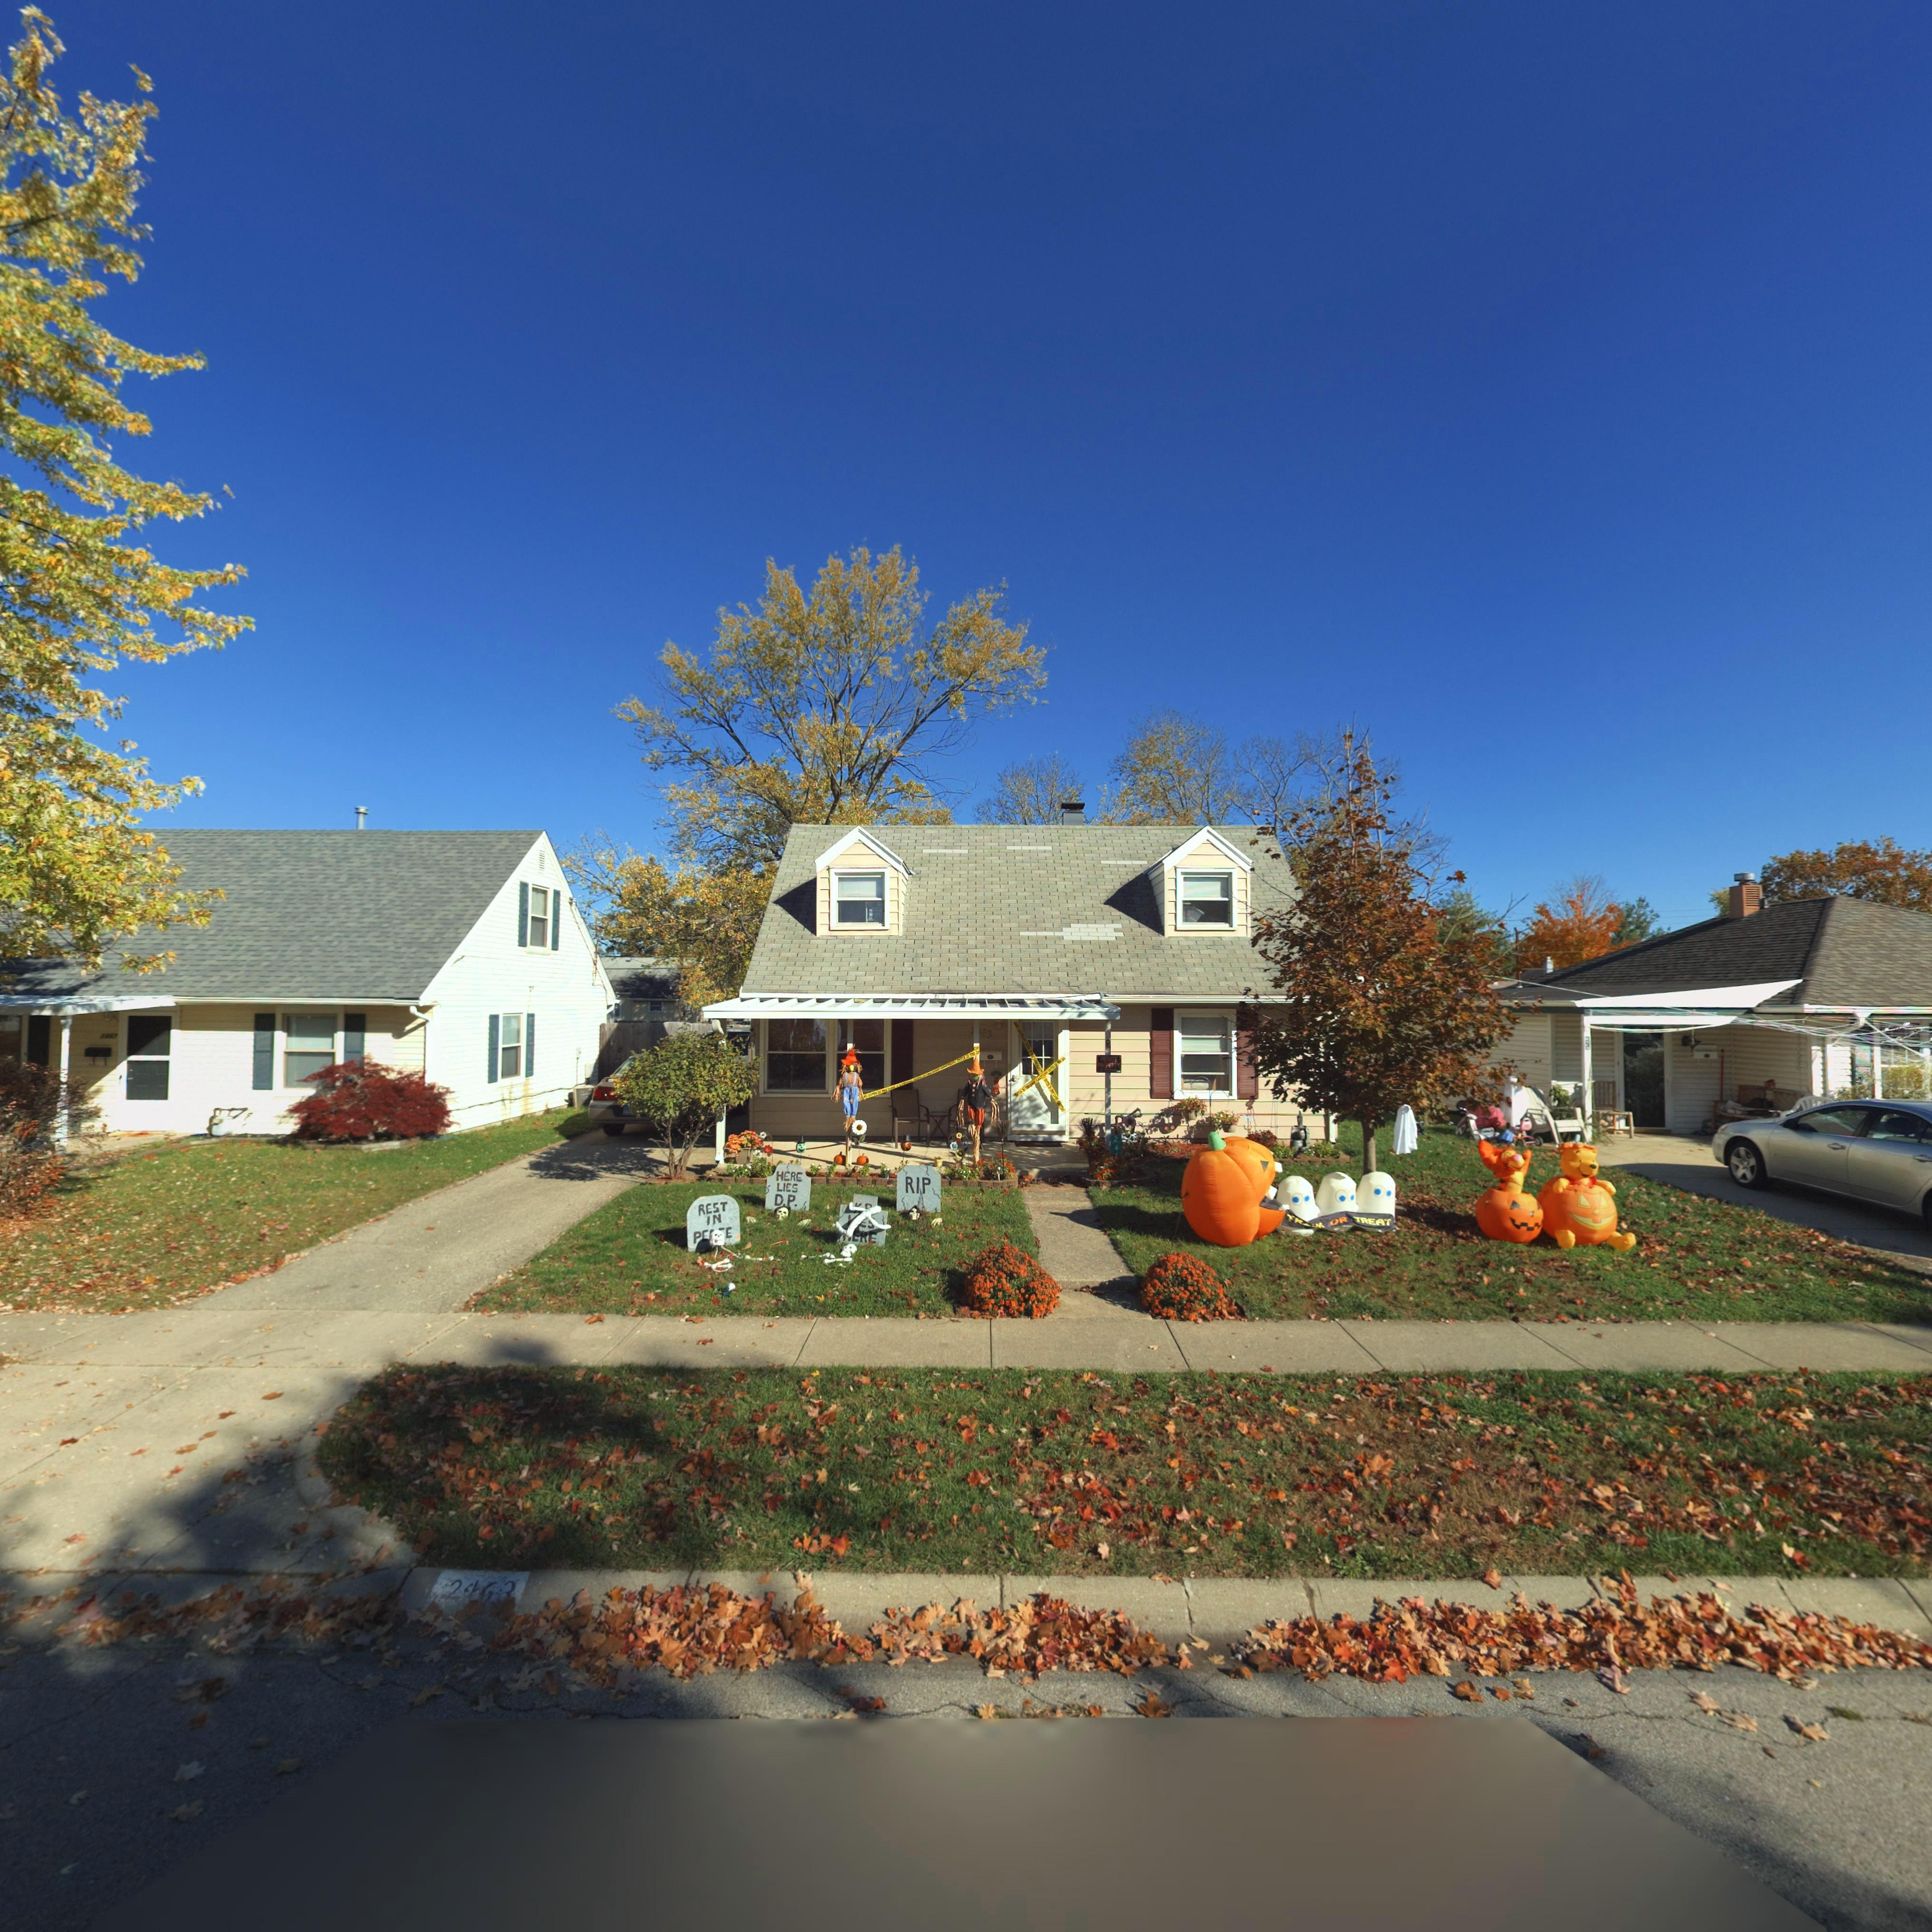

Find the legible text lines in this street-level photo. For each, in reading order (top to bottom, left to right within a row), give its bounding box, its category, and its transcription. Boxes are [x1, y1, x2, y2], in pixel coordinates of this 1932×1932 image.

[99, 1033, 119, 1039] StreetNumber: 2**7
[980, 1028, 993, 1039] StreetNumber: 63
[445, 1578, 516, 1606] StreetNumber: 246*